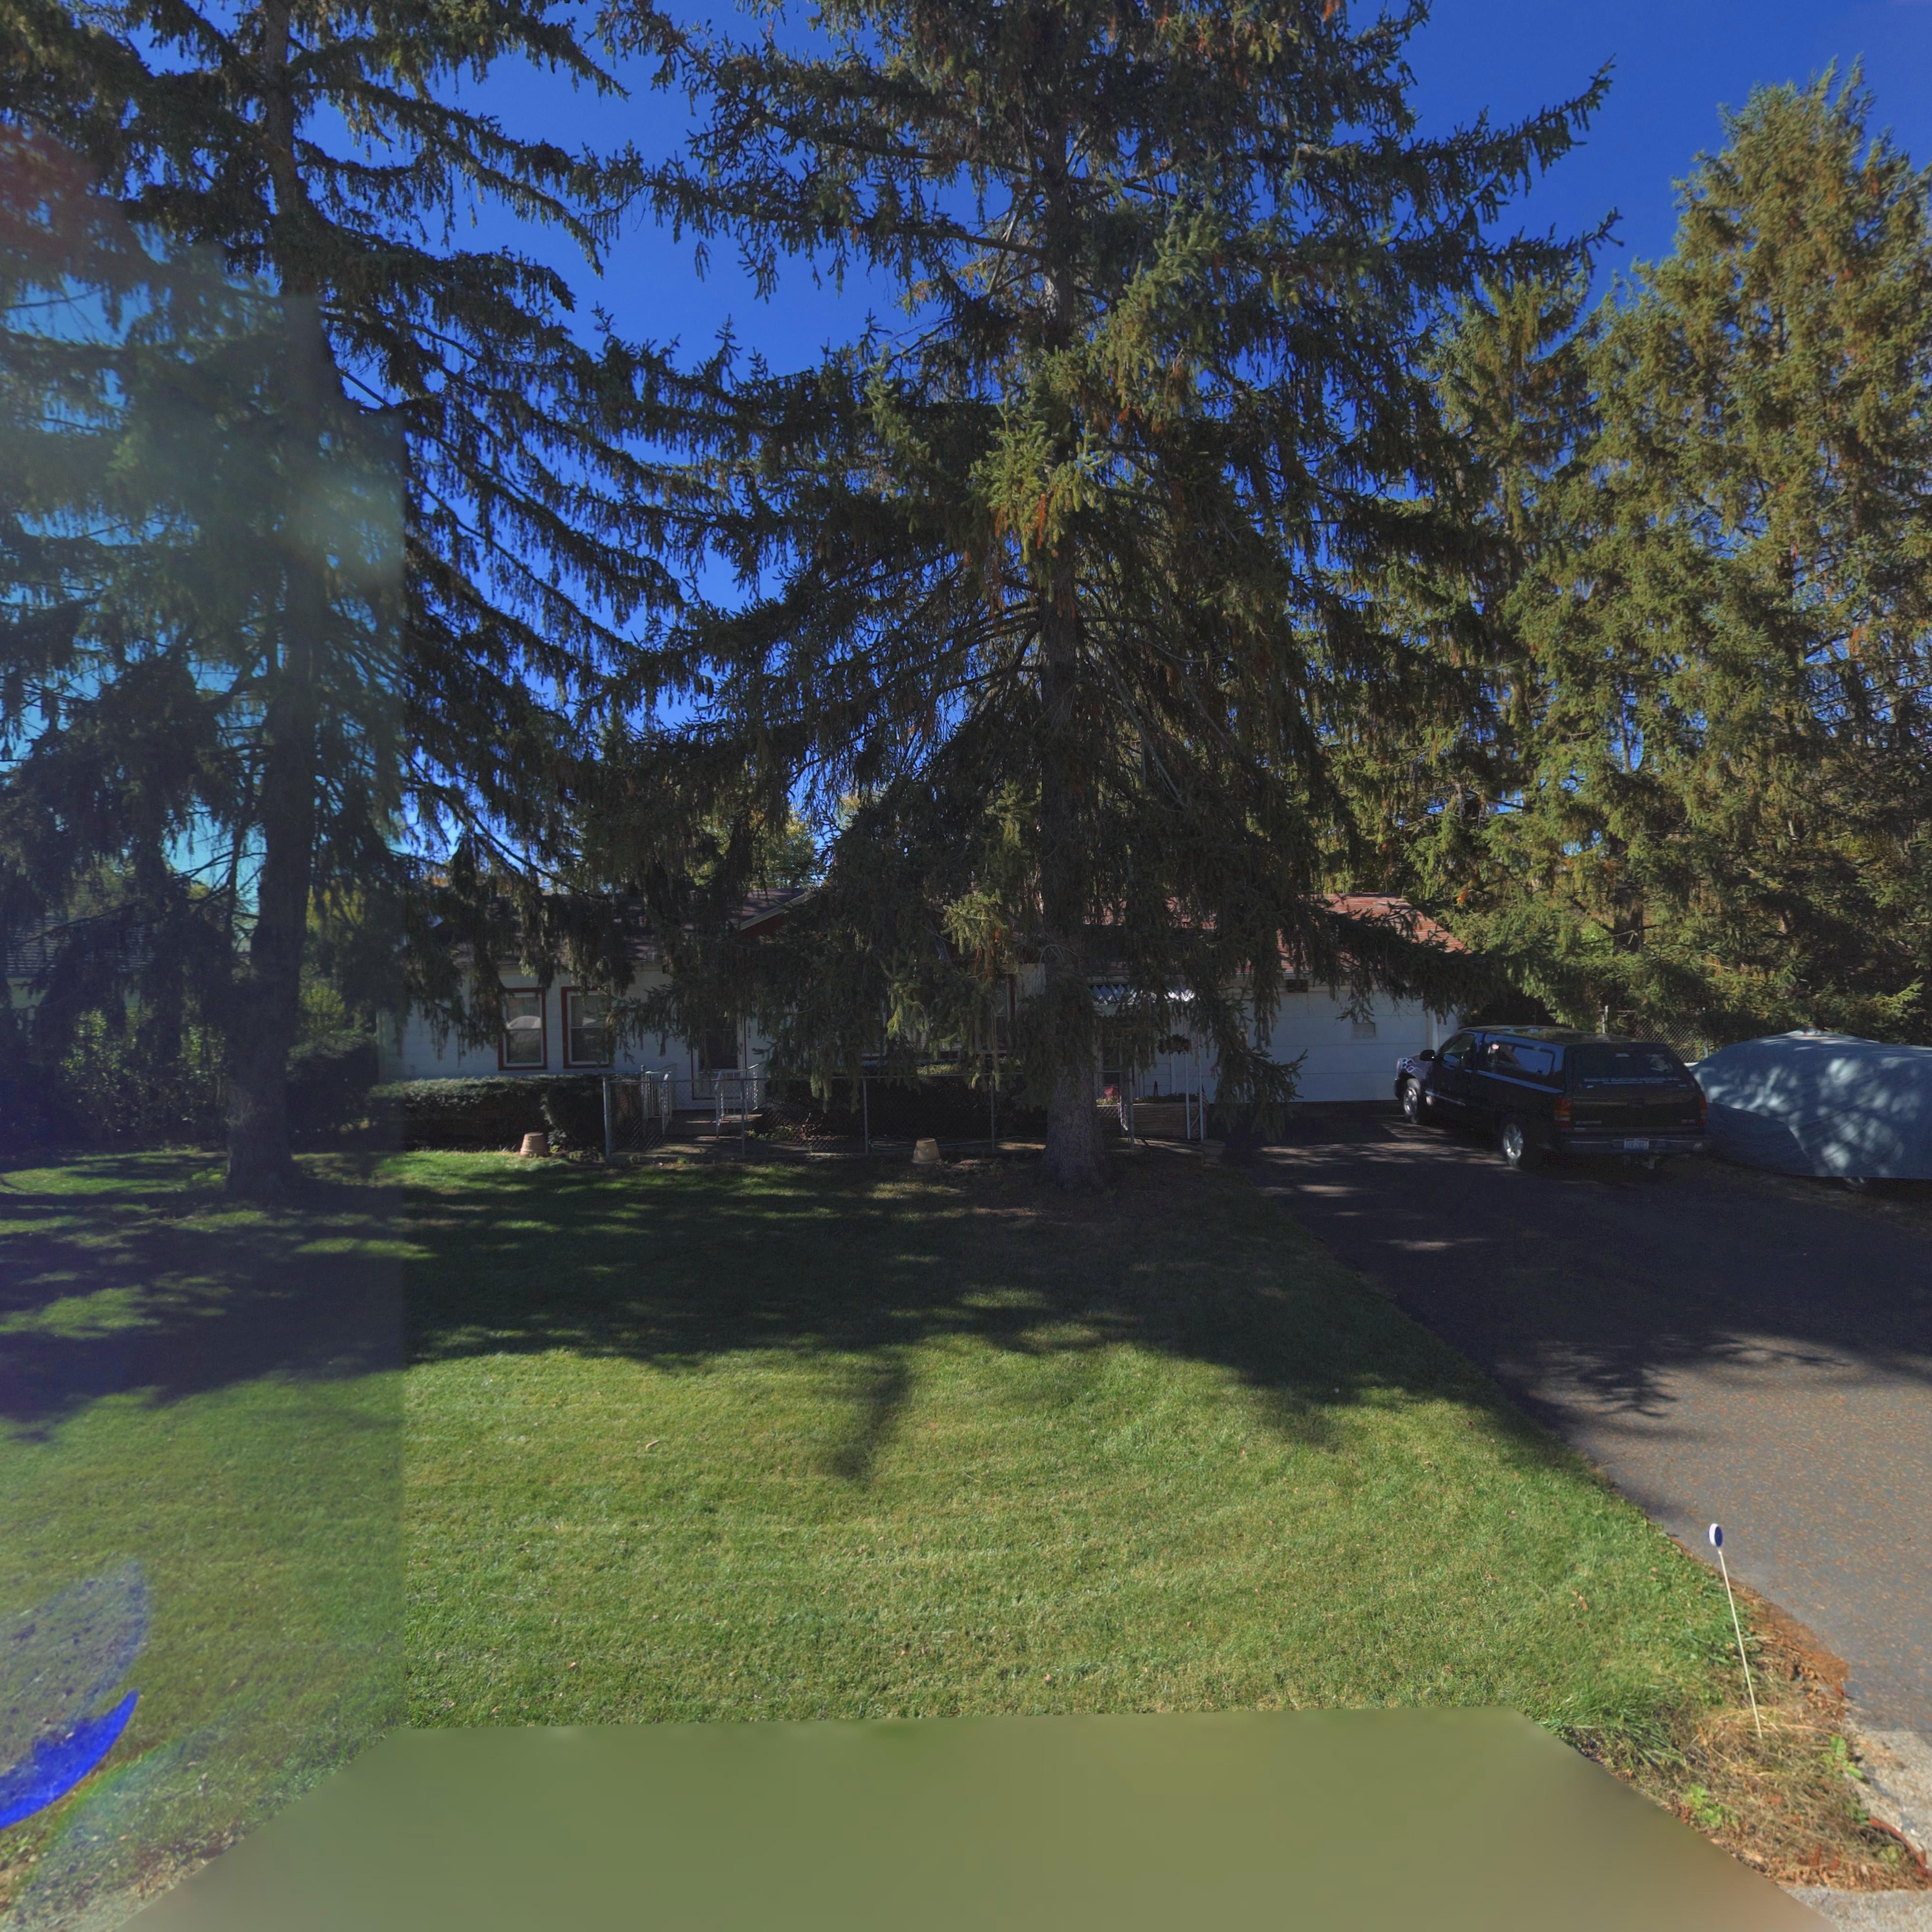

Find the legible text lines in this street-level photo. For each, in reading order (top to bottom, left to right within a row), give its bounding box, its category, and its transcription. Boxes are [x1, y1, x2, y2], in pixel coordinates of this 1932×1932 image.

[1287, 980, 1308, 990] StreetNumber: *1*